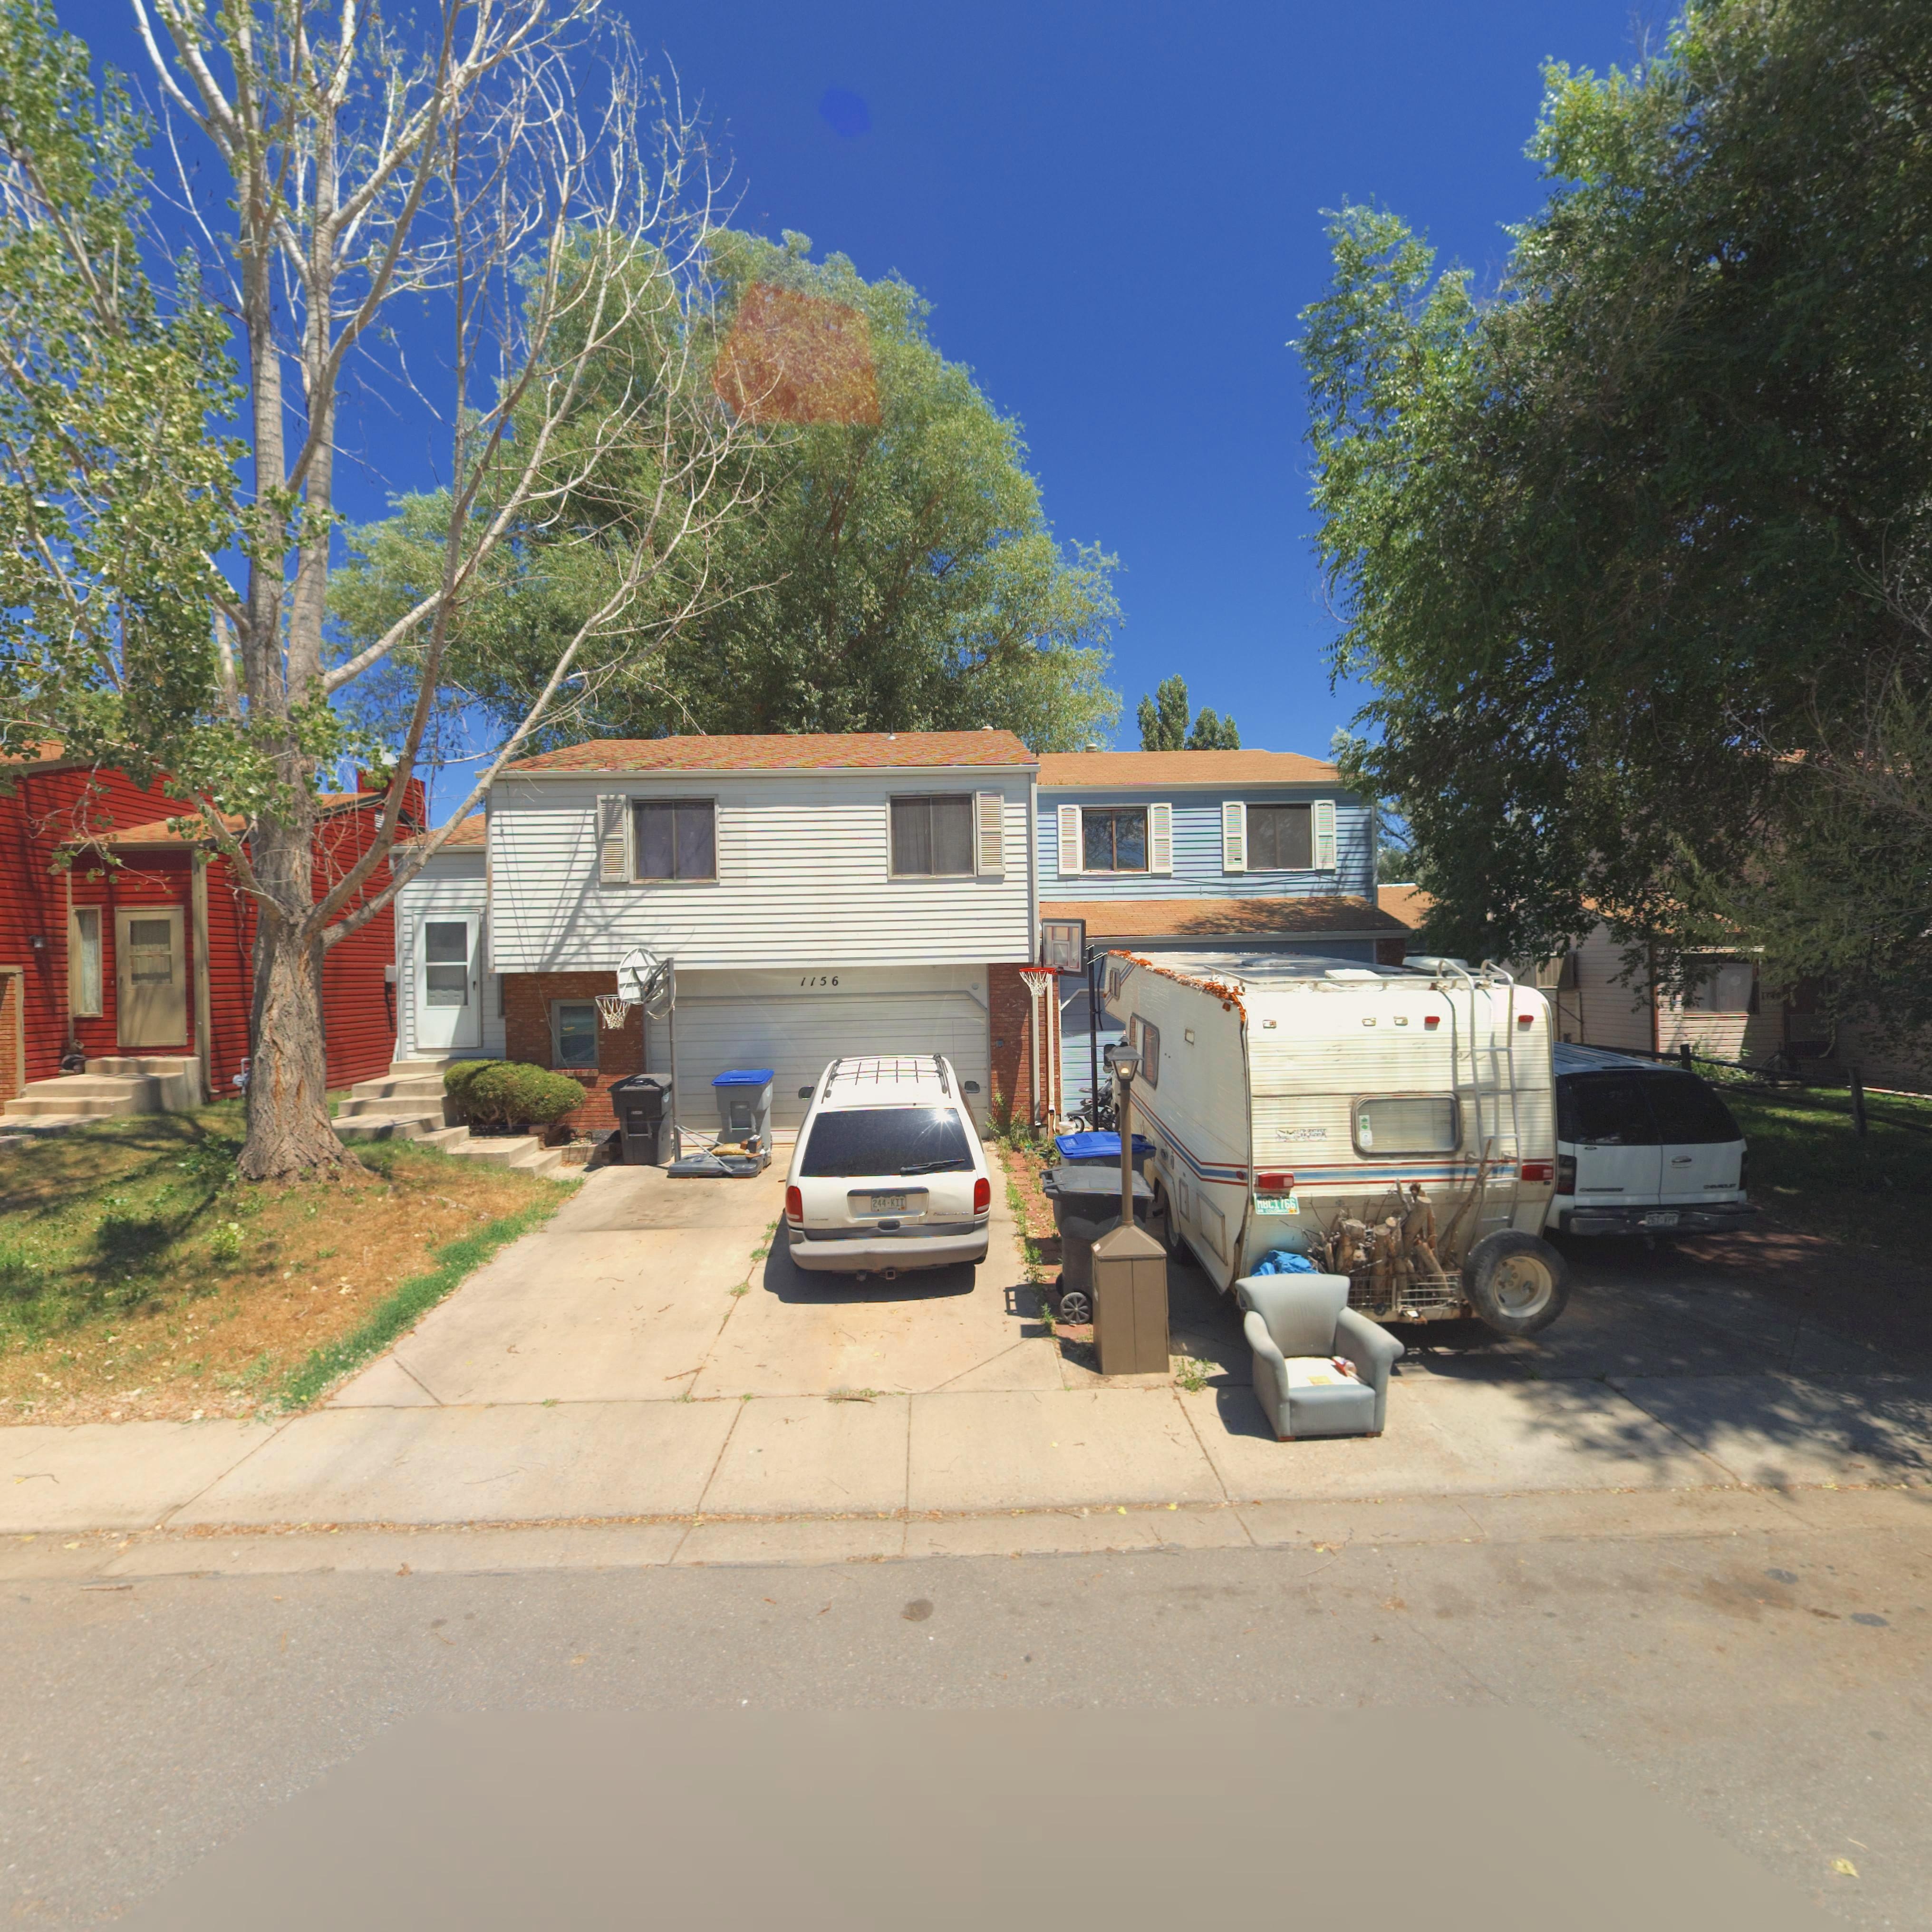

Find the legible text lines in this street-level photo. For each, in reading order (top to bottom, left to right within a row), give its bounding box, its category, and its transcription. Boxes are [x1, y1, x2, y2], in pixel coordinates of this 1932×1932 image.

[799, 975, 839, 987] StreetNumber: 1156